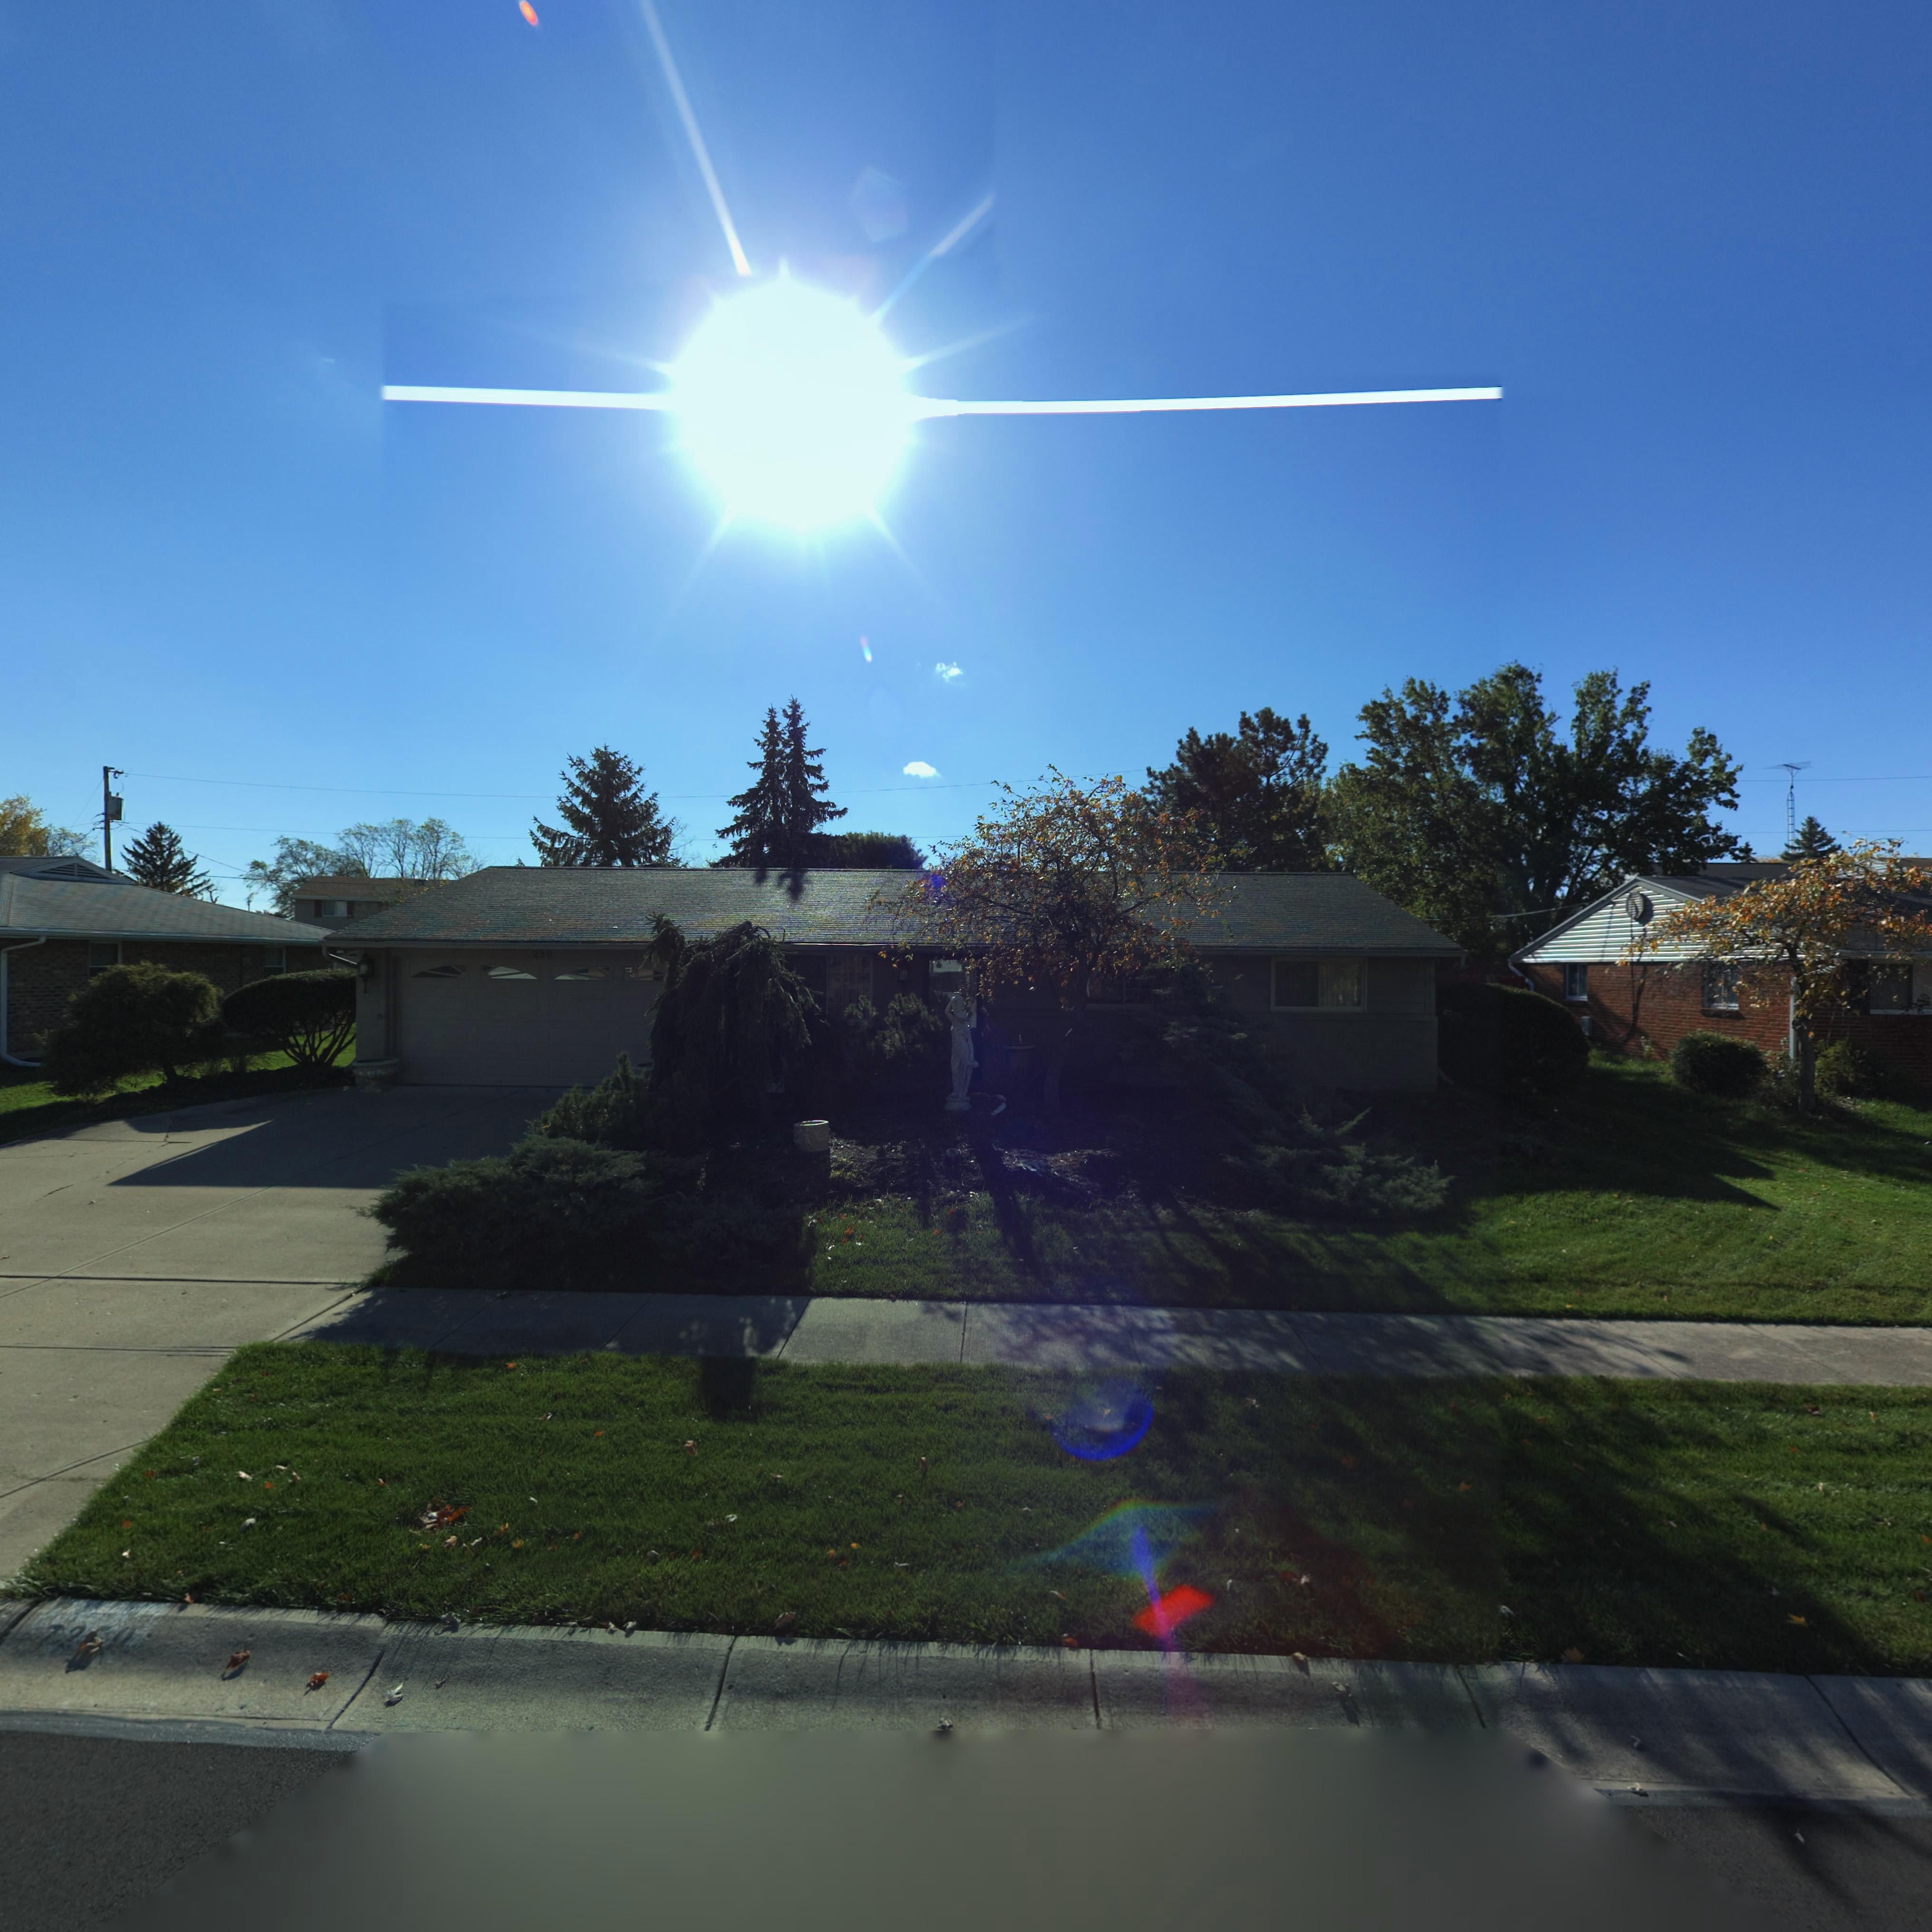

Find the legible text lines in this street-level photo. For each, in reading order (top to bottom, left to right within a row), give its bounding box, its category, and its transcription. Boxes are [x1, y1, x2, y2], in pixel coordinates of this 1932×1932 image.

[531, 949, 553, 960] StreetNumber: 250
[36, 1622, 140, 1651] StreetNumber: 7***